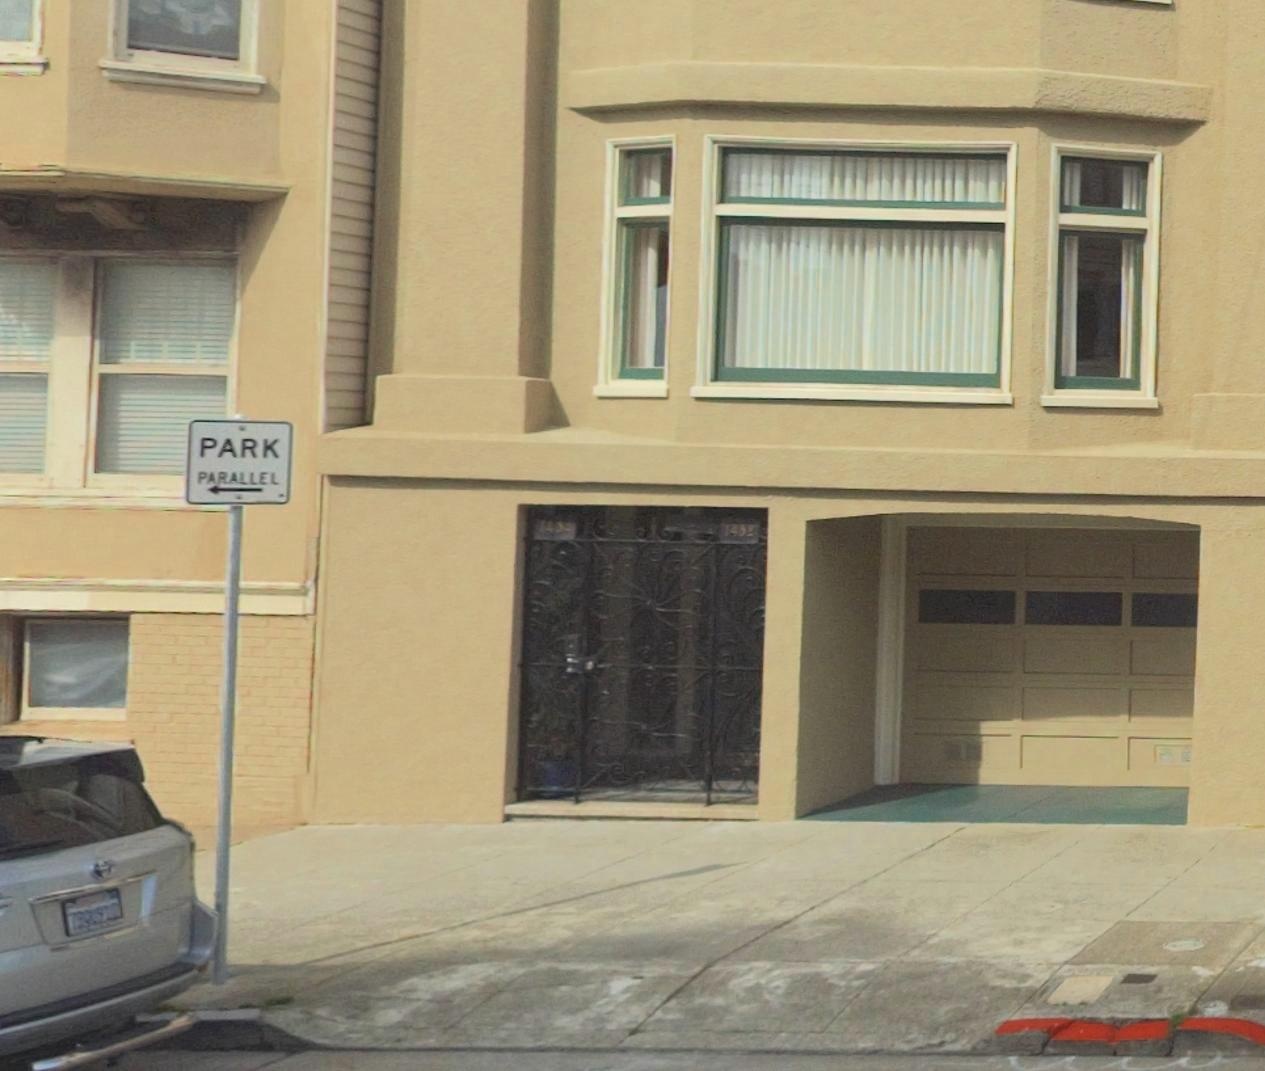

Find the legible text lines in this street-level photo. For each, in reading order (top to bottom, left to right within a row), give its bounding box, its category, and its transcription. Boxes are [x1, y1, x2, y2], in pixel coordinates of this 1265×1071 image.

[198, 435, 280, 460] None: PARK
[196, 471, 279, 486] None: PARALLEL
[538, 520, 572, 534] StreetNumber: 1454
[723, 523, 754, 538] StreetNumber: 1452